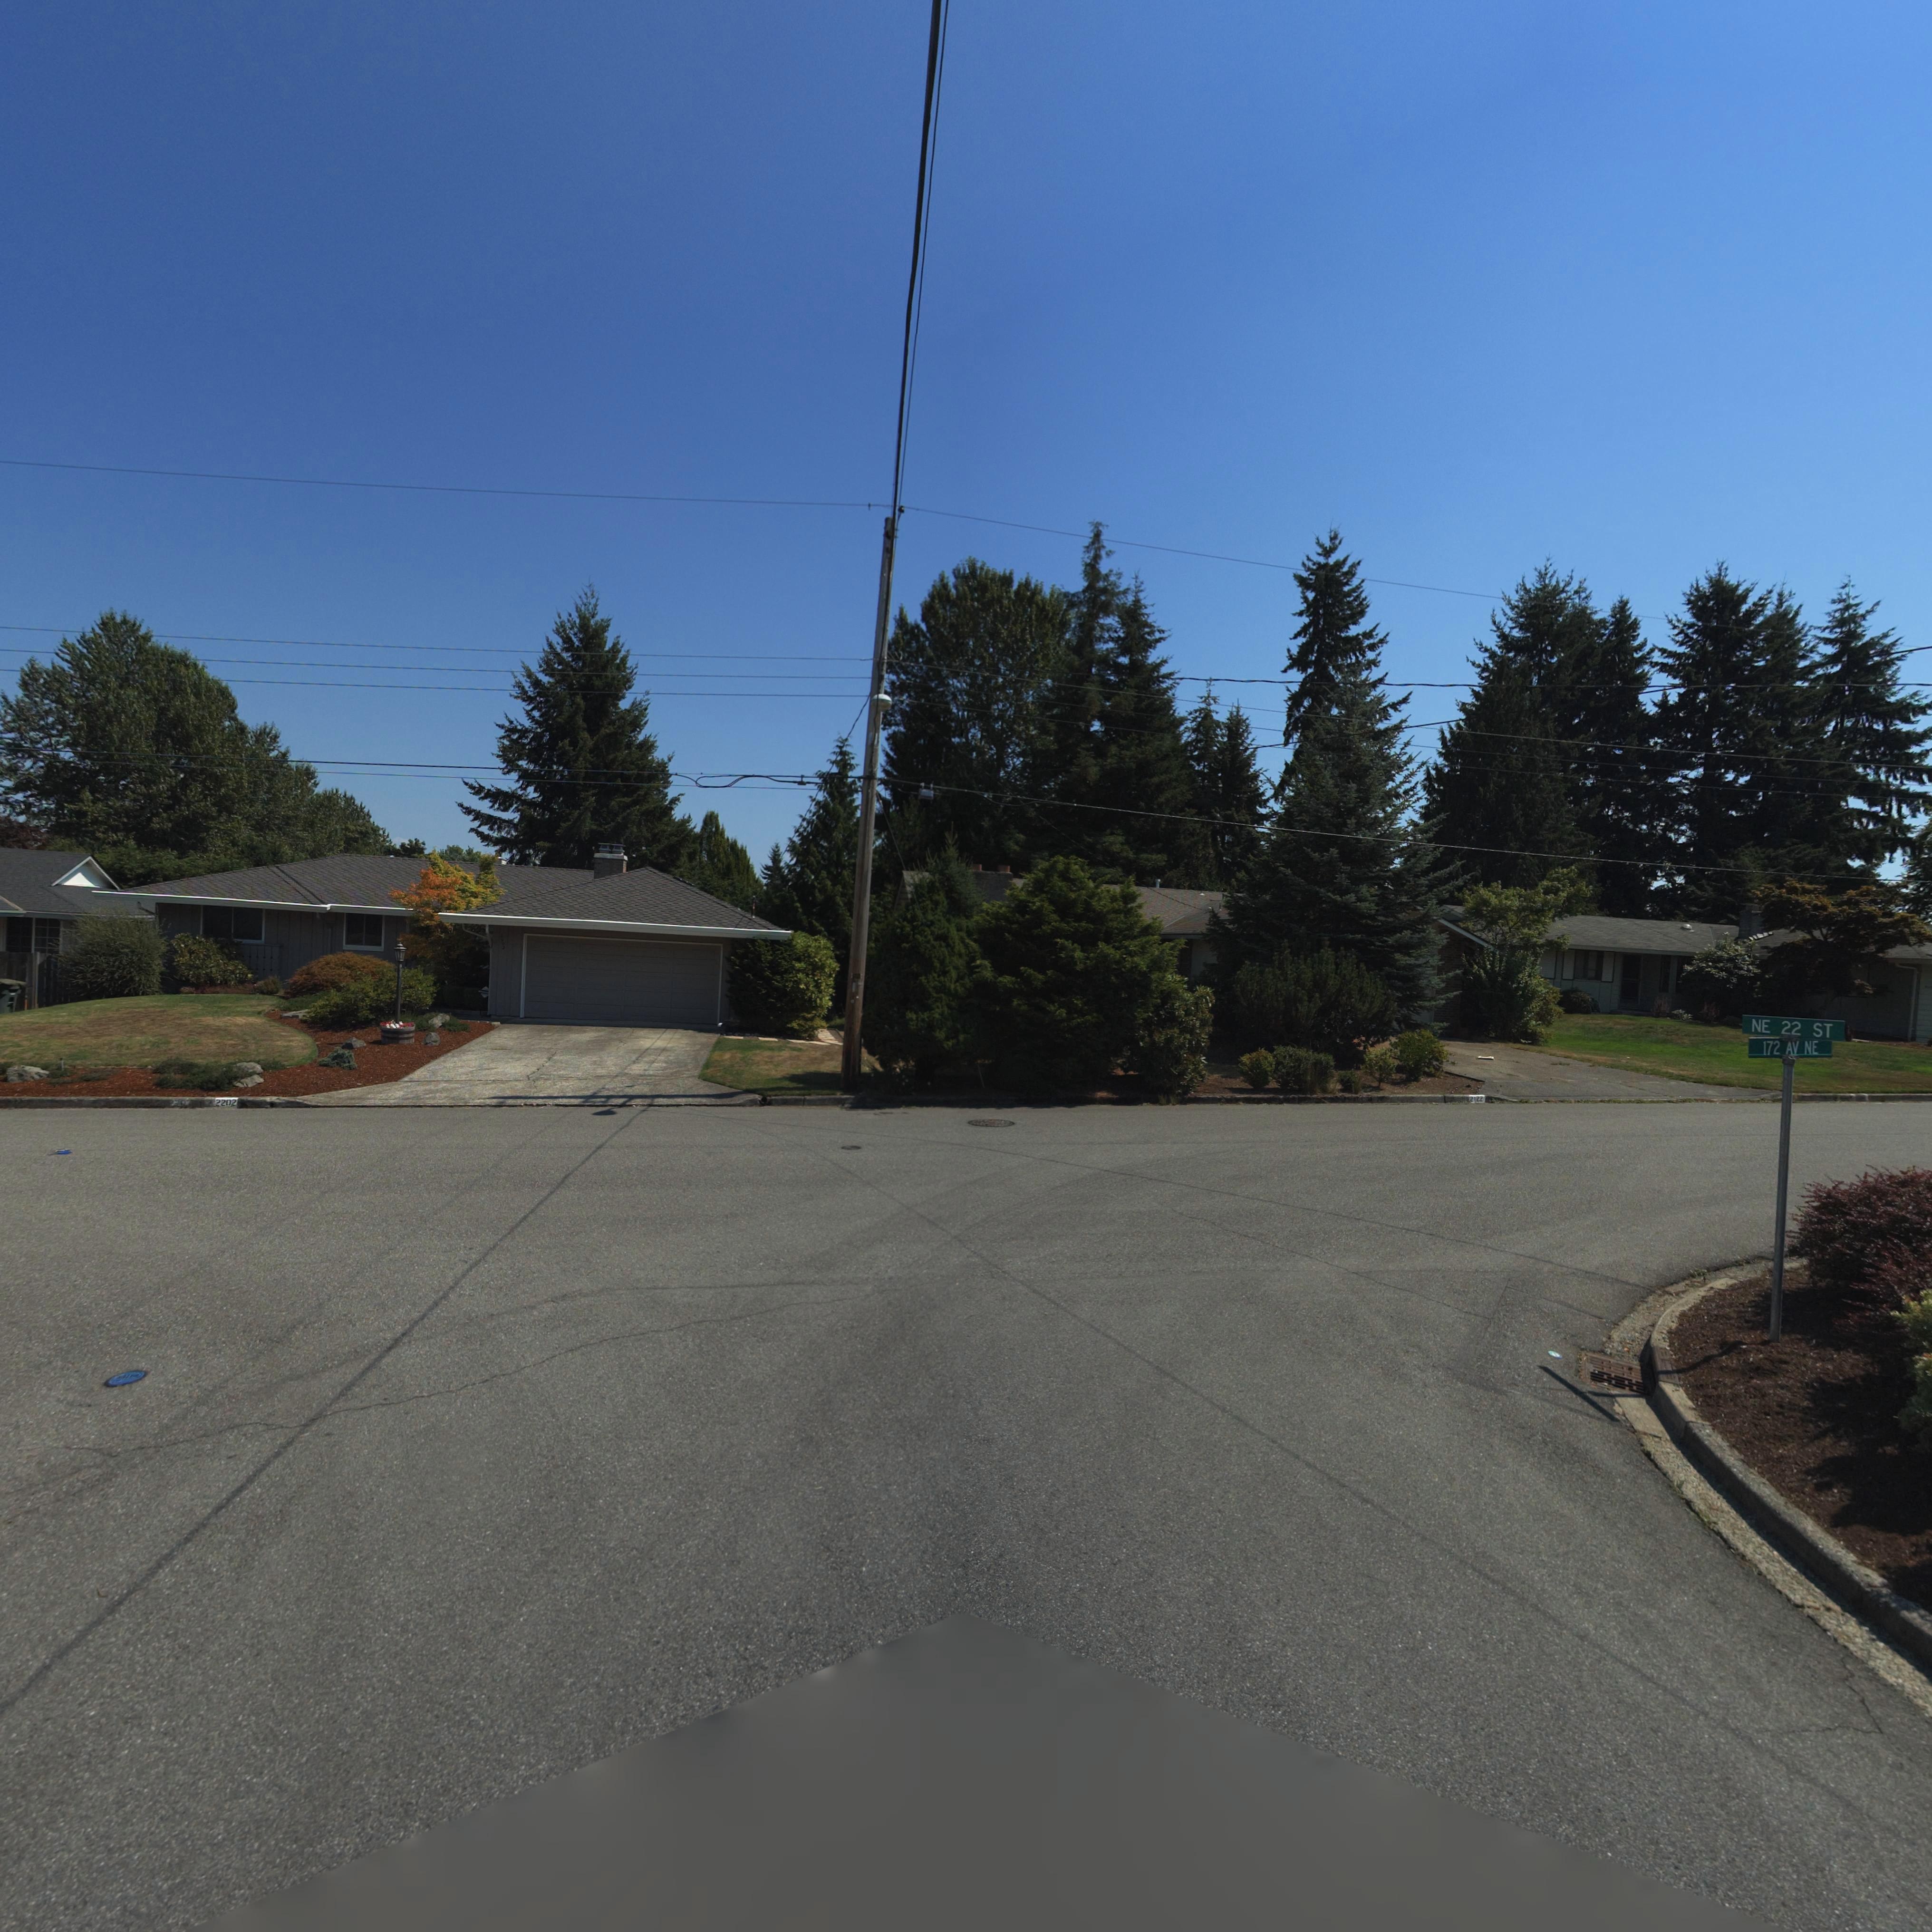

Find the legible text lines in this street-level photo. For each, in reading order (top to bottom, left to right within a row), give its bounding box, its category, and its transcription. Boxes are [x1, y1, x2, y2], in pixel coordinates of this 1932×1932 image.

[1752, 1019, 1833, 1038] StreetName: NE 22 ST
[1760, 1039, 1820, 1056] StreetName: 172 AV NE
[213, 1095, 240, 1107] StreetNumber: 2202